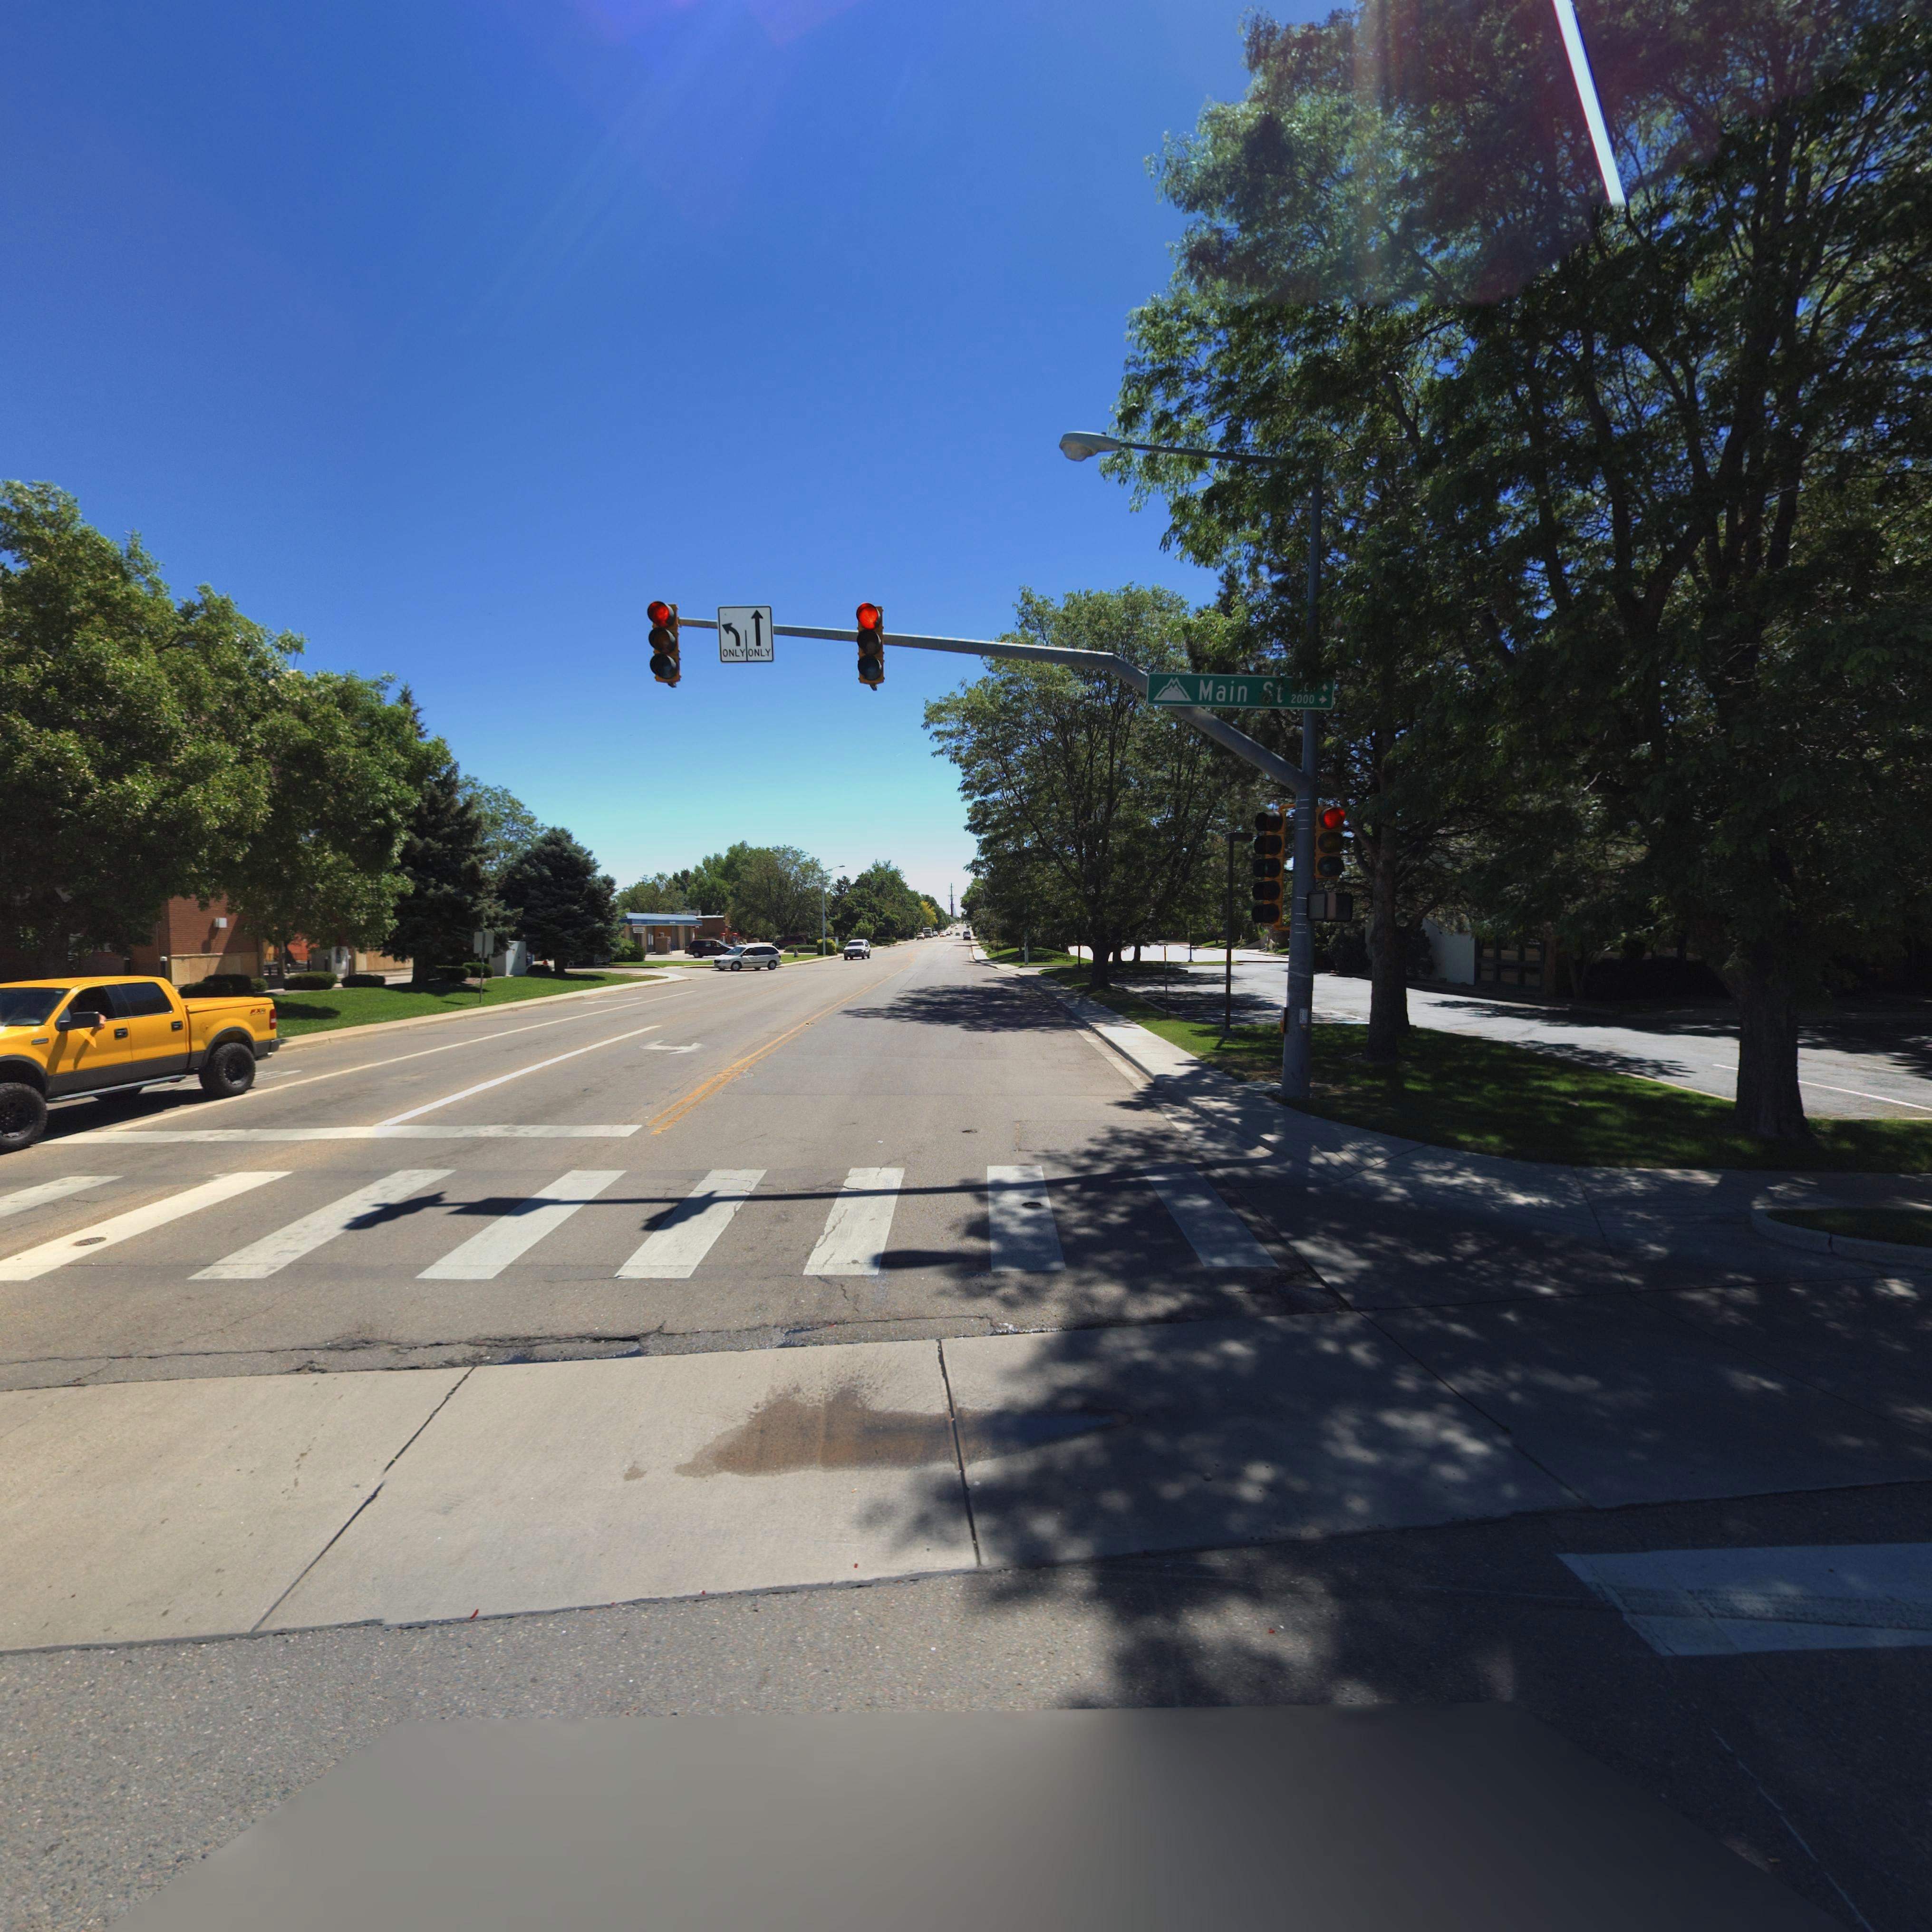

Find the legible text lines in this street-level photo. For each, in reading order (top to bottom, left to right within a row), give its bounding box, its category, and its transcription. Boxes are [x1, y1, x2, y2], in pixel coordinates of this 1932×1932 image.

[1198, 678, 1285, 704] BusinessName: Main *t
[1290, 693, 1328, 704] StreetNumberRange: 2000 ->